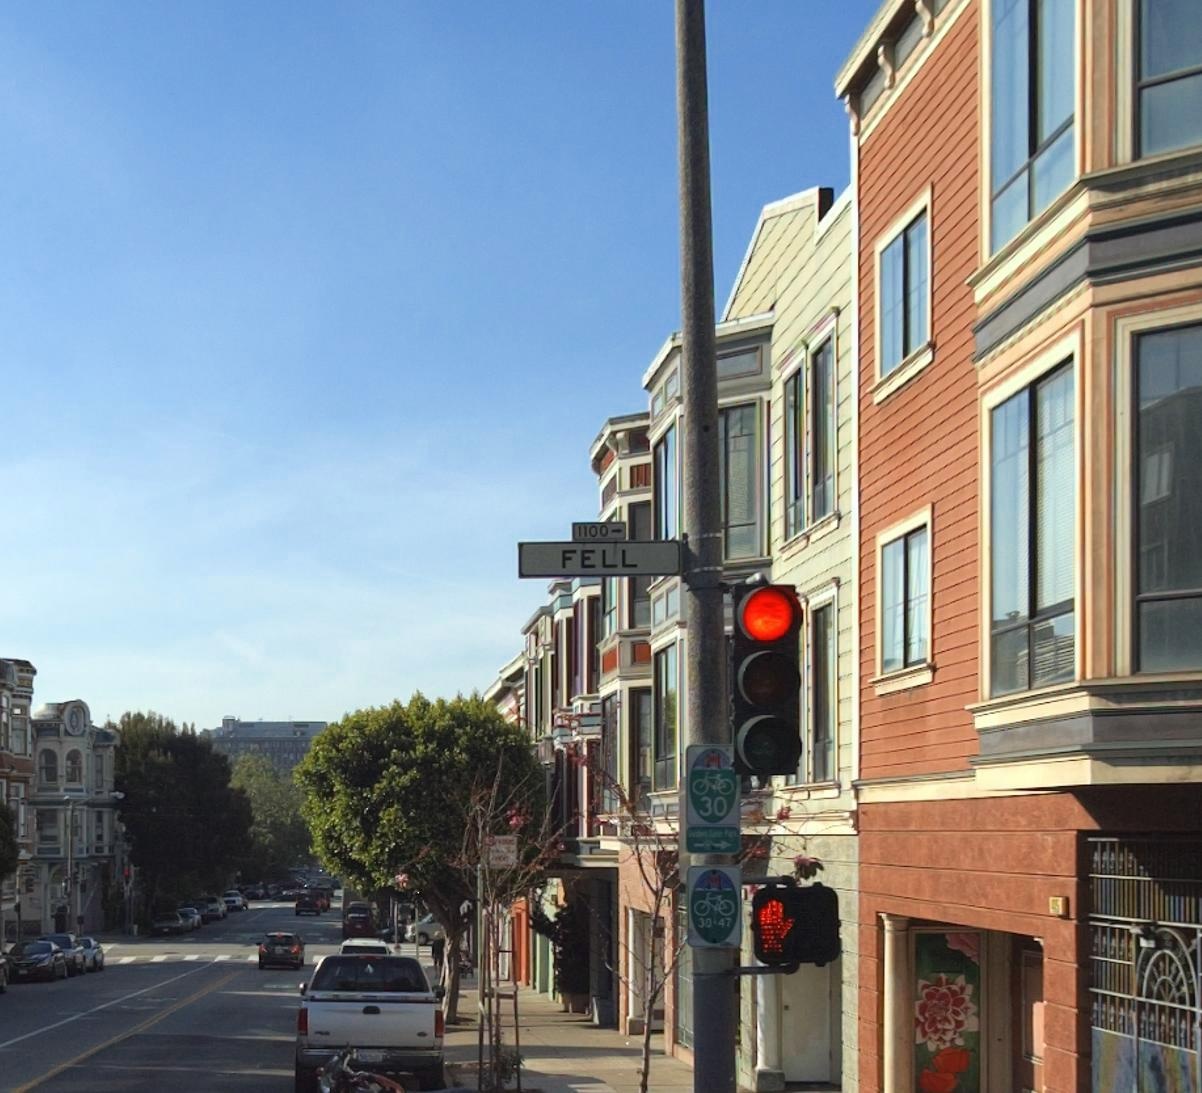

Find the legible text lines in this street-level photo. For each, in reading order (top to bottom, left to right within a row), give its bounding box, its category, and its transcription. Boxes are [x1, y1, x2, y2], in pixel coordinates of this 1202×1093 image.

[574, 522, 622, 538] StreetNumberRange: 1100->
[561, 547, 639, 570] StreetName: FELL
[697, 793, 726, 816] None: 30
[697, 916, 731, 928] None: 30*47